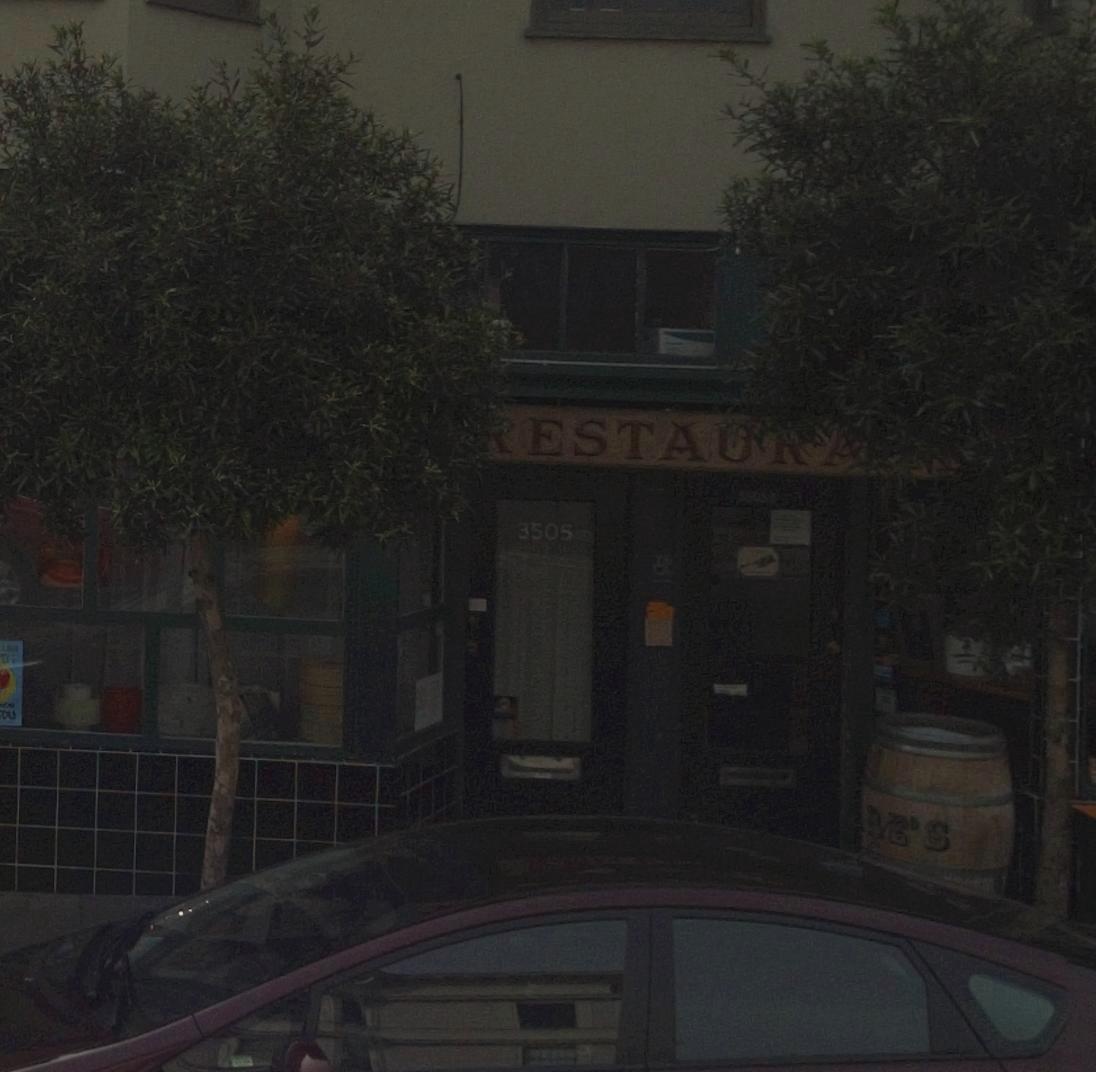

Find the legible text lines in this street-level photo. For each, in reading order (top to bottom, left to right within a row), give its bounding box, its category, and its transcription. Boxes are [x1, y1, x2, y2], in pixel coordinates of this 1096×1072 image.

[472, 412, 872, 471] None: *ESTAU**
[516, 520, 575, 542] StreetNumber: 3505
[887, 810, 951, 855] None: E'S